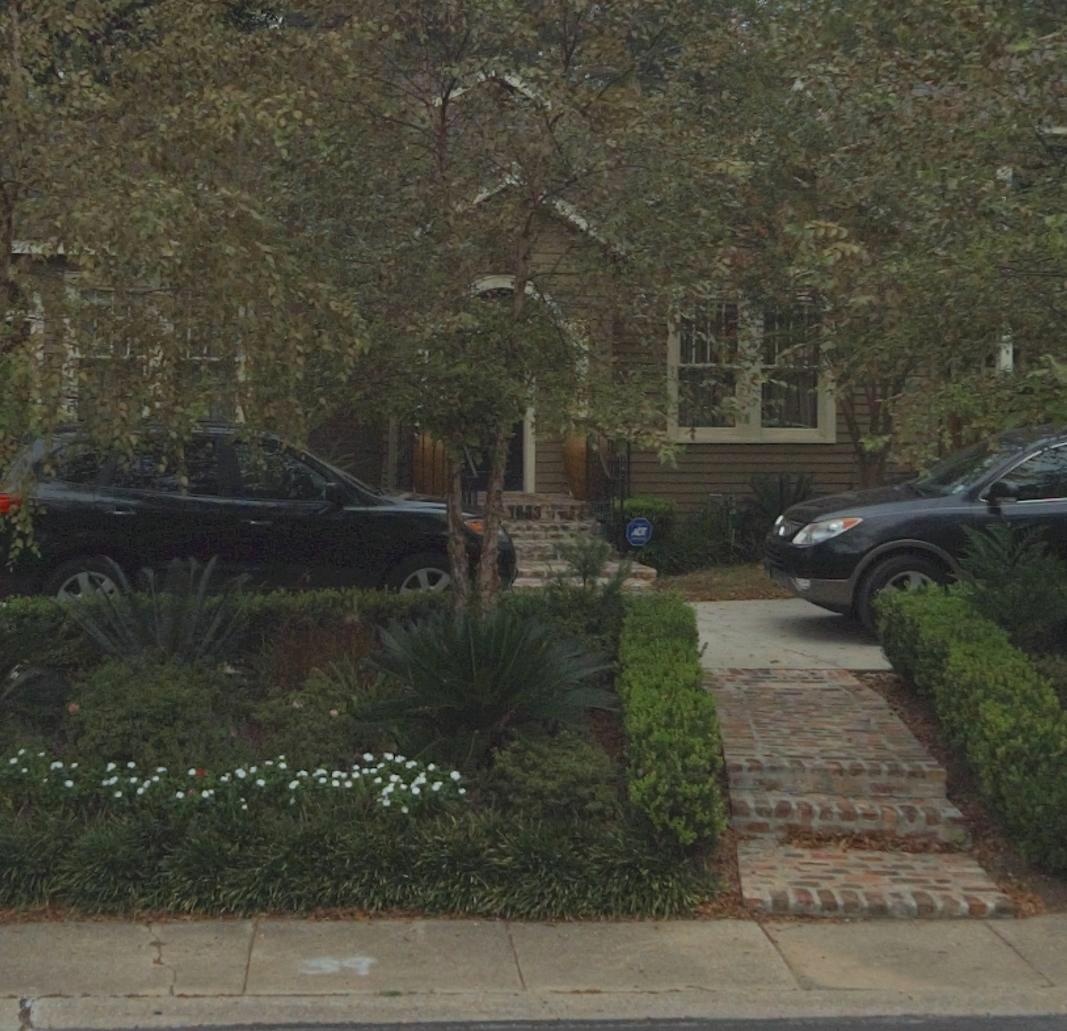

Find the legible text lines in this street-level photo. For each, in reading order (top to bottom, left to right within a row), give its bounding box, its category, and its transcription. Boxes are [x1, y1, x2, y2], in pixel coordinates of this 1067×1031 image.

[507, 503, 542, 520] StreetNumber: 1833
[632, 527, 647, 537] None: ADT